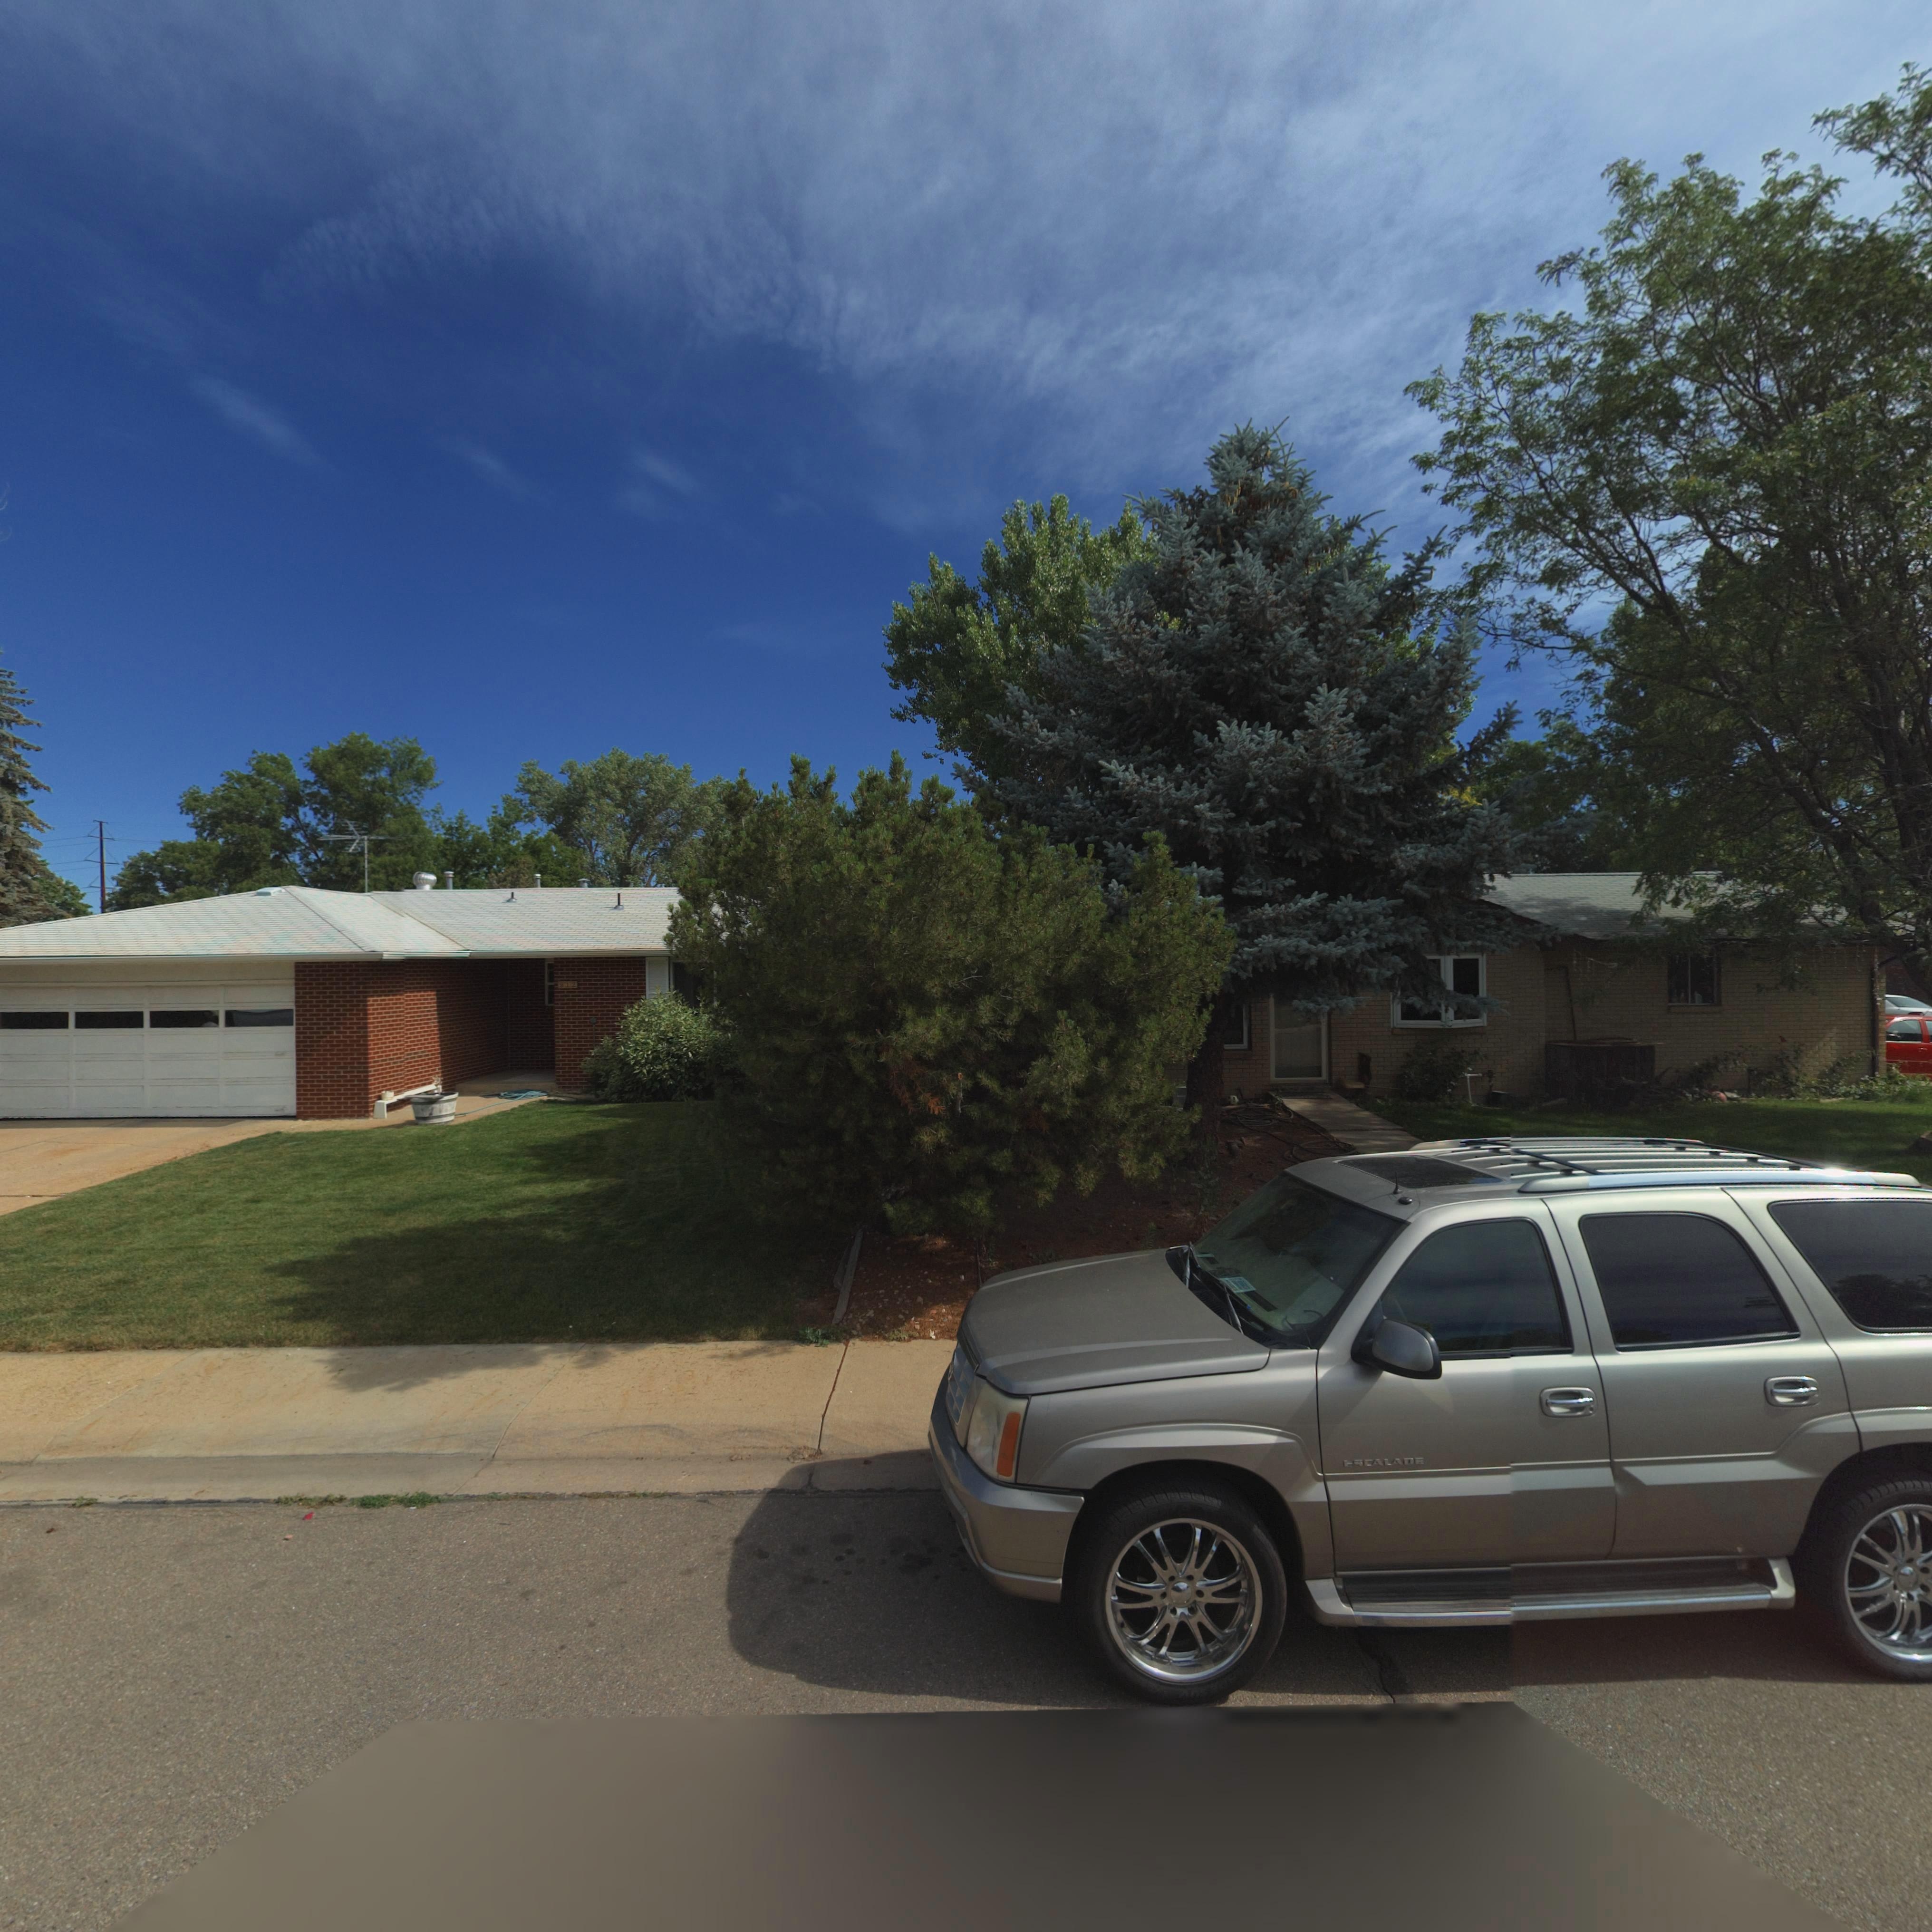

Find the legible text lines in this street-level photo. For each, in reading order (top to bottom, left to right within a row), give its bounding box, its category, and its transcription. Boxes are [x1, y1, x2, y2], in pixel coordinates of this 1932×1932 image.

[559, 981, 576, 988] StreetNumber: 912